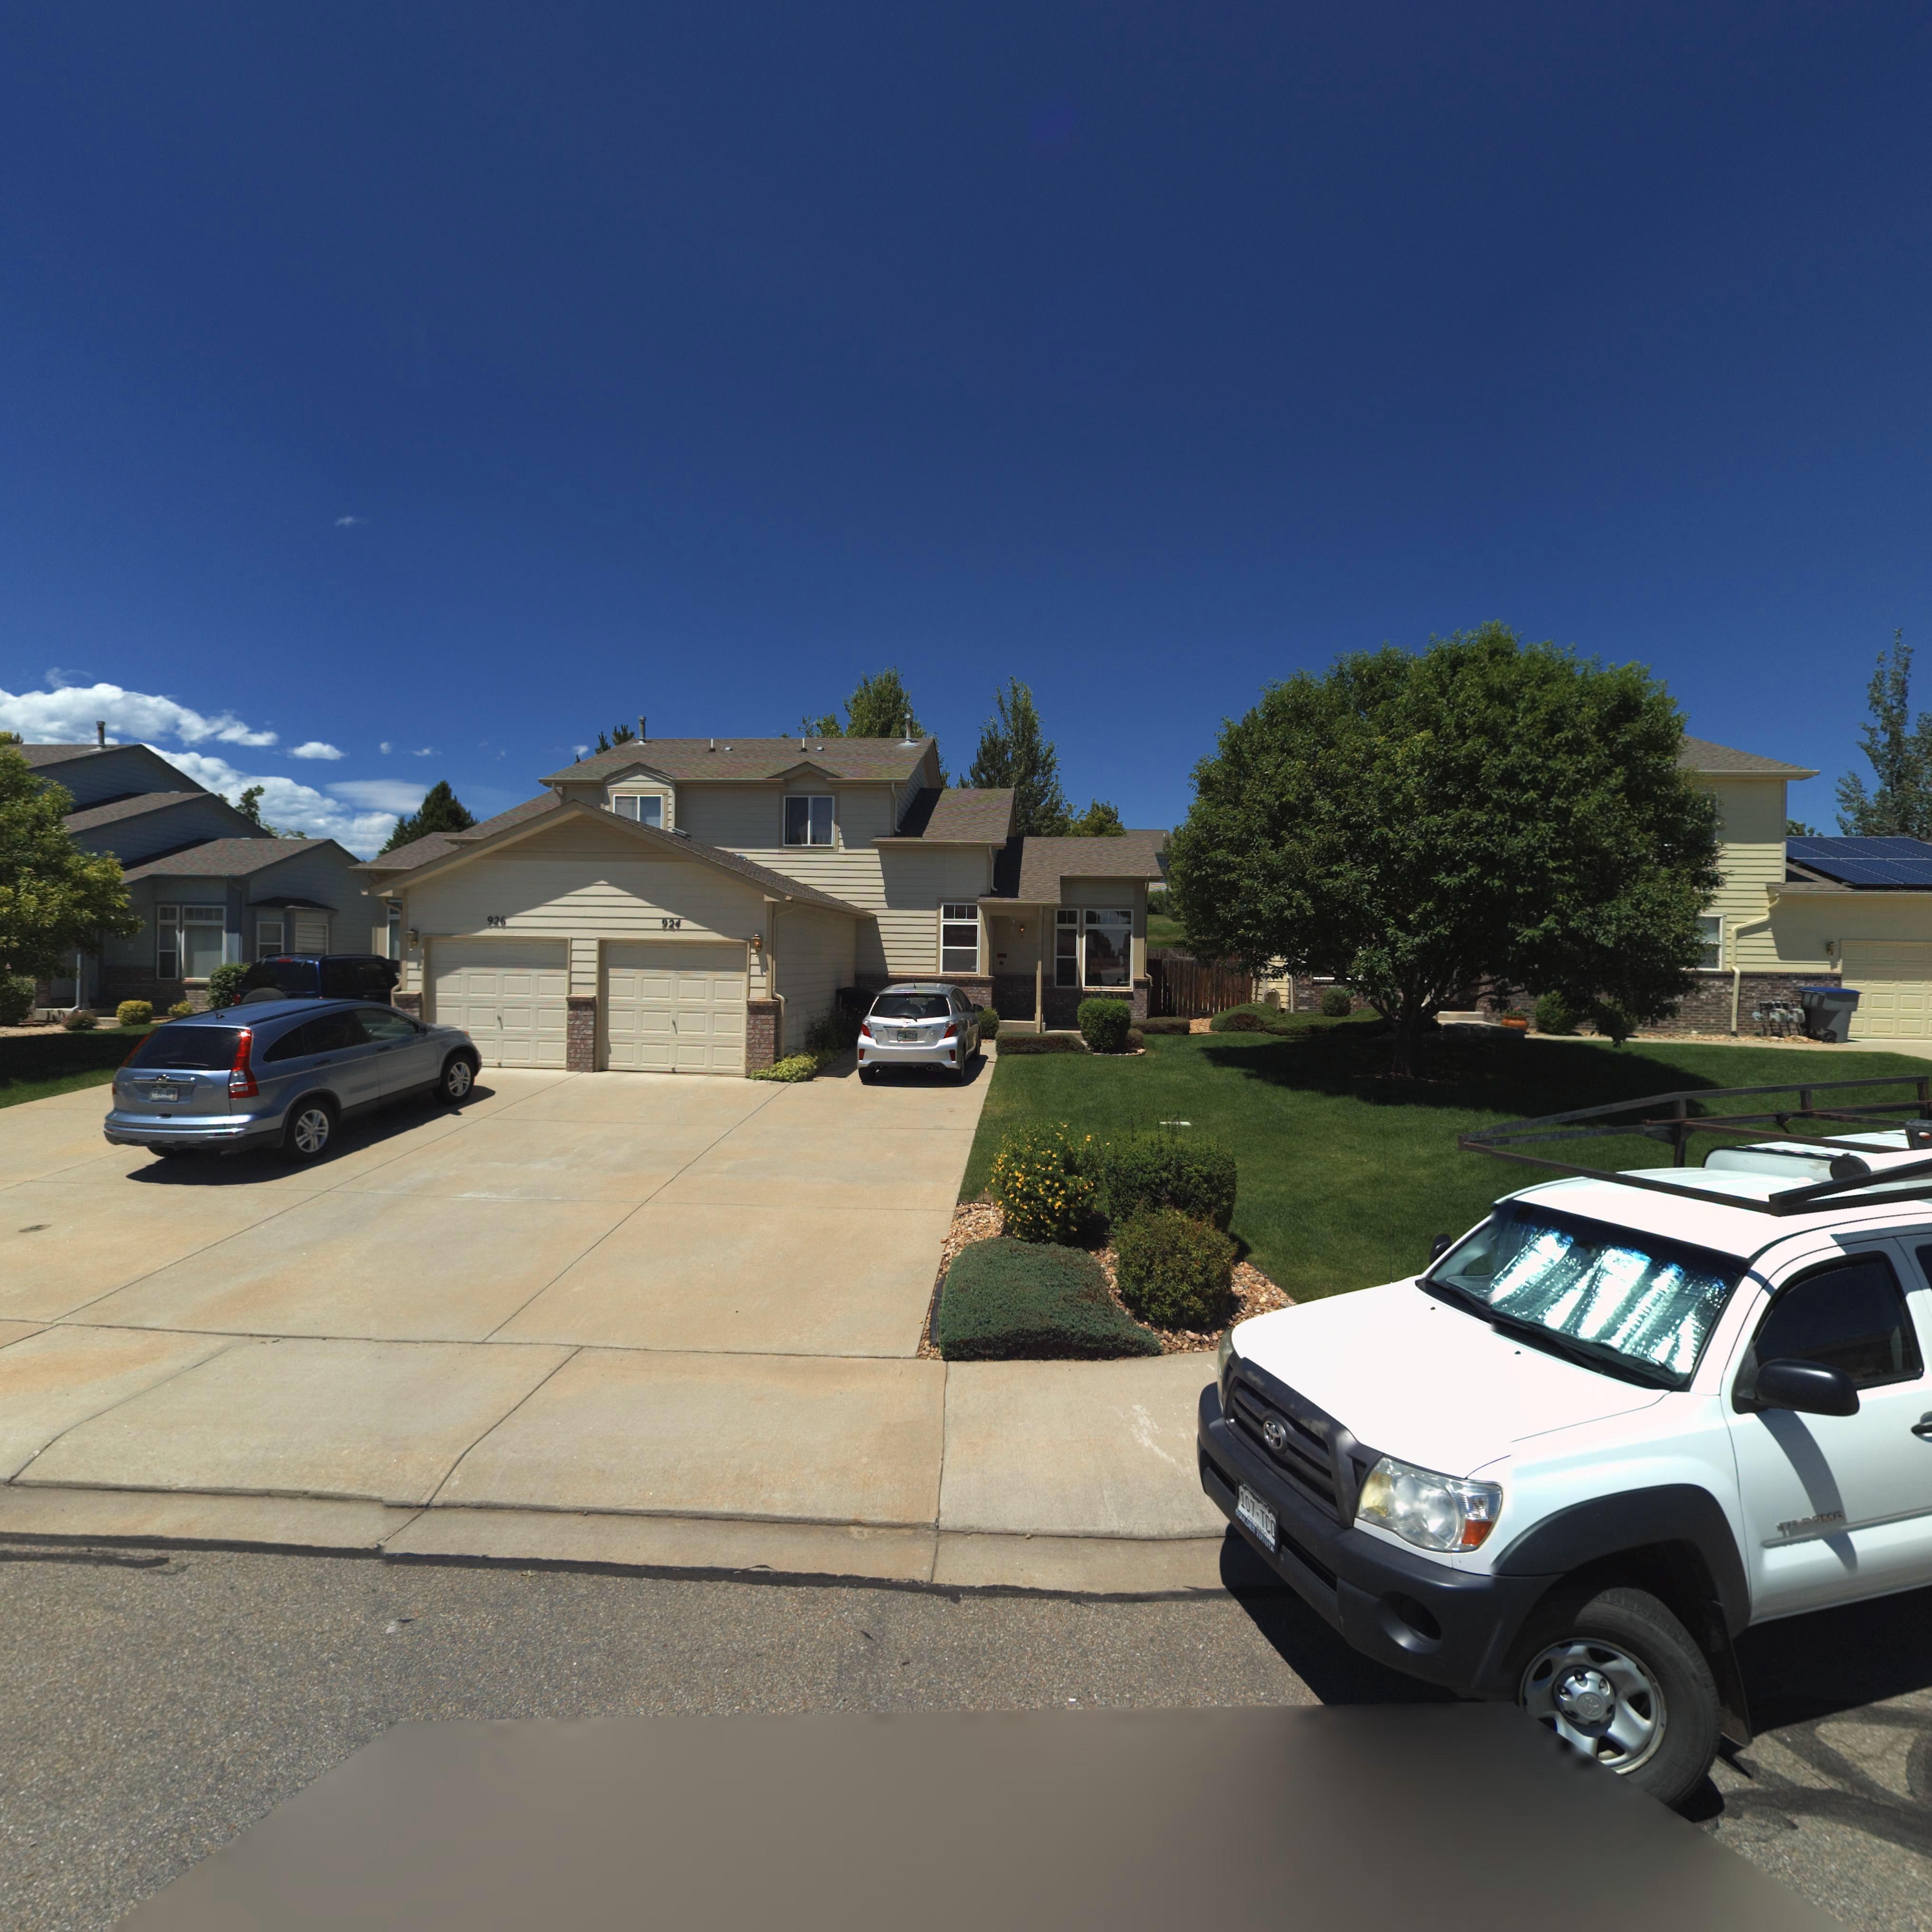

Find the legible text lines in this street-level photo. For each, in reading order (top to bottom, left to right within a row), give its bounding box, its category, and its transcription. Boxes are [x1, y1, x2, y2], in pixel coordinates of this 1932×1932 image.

[487, 915, 506, 926] StreetNumber: 926
[661, 918, 681, 928] StreetNumber: 924